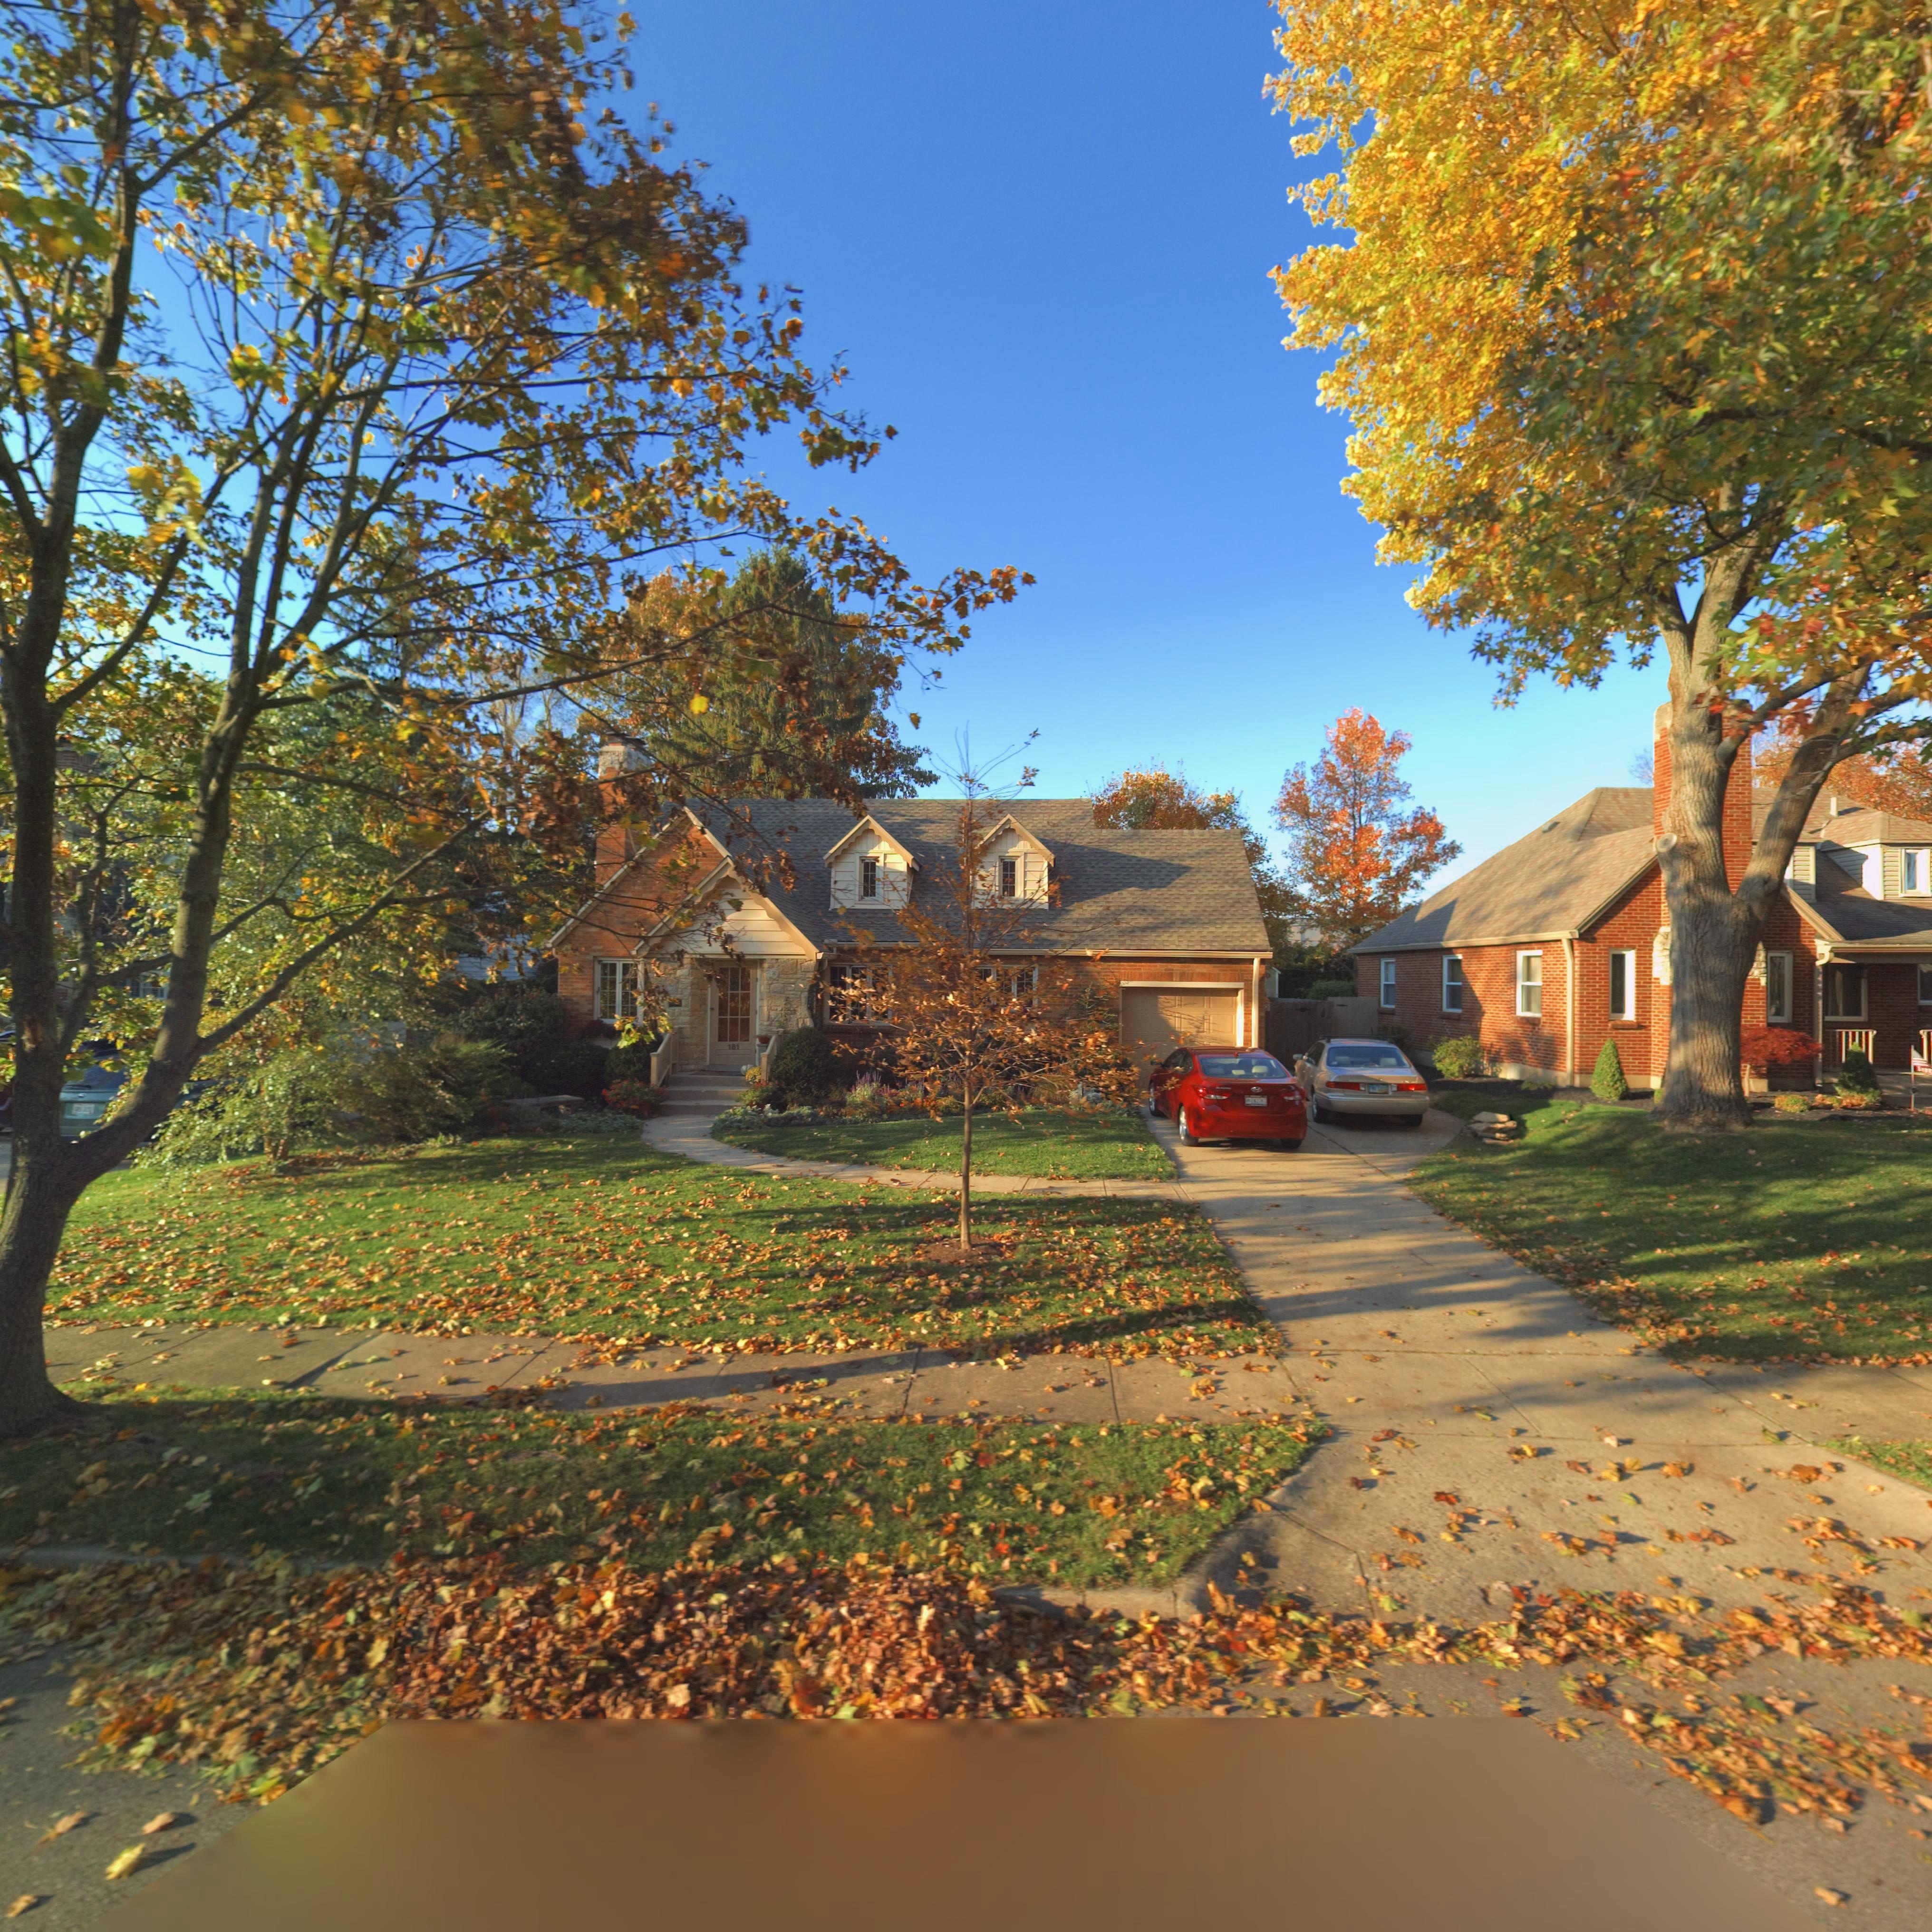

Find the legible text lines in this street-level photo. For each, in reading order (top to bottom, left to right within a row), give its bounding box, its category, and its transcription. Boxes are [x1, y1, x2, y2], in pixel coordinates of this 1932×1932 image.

[727, 1043, 740, 1050] StreetNumber: 181